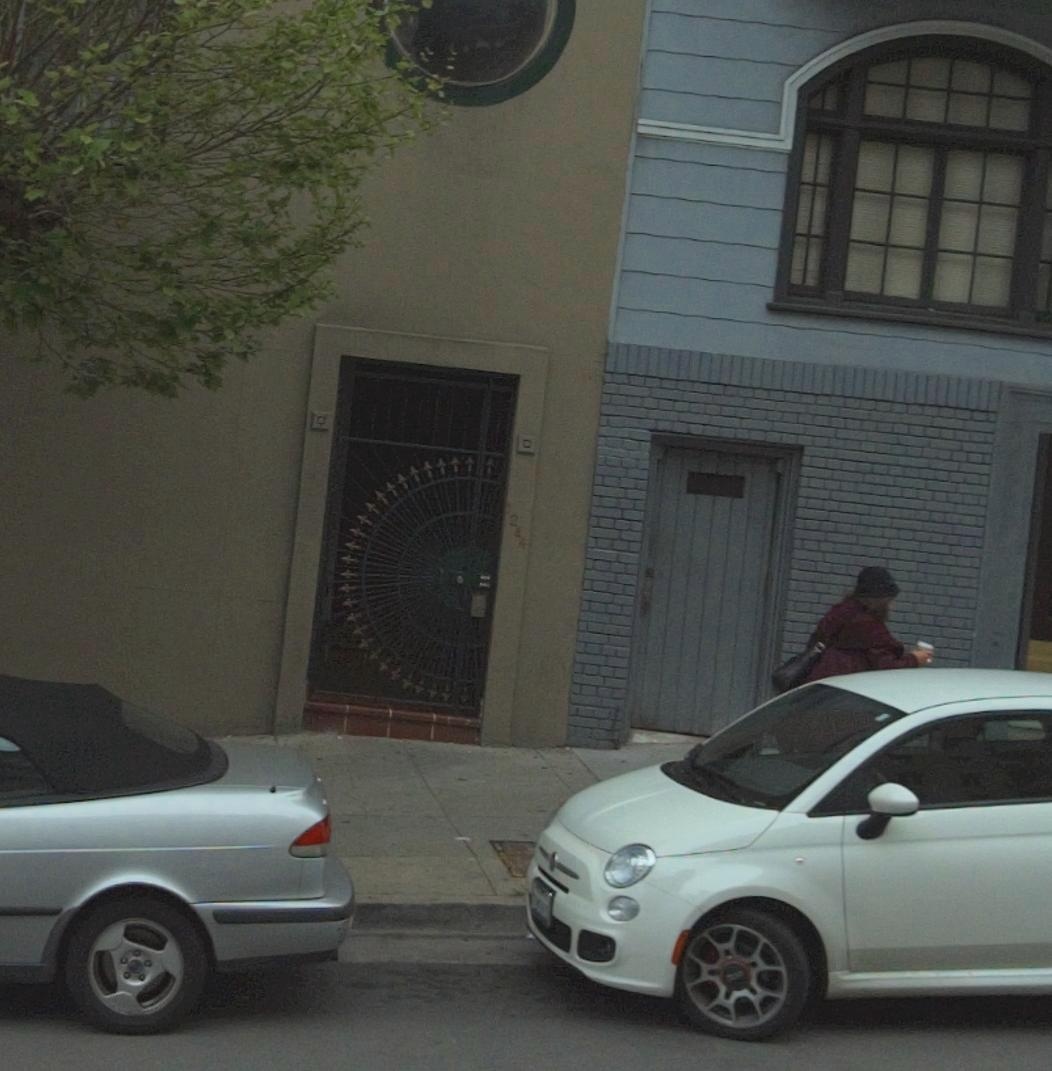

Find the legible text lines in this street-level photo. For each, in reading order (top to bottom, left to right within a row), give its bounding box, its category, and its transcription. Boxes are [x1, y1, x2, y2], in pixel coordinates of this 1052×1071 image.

[506, 512, 531, 554] StreetNumber: 244